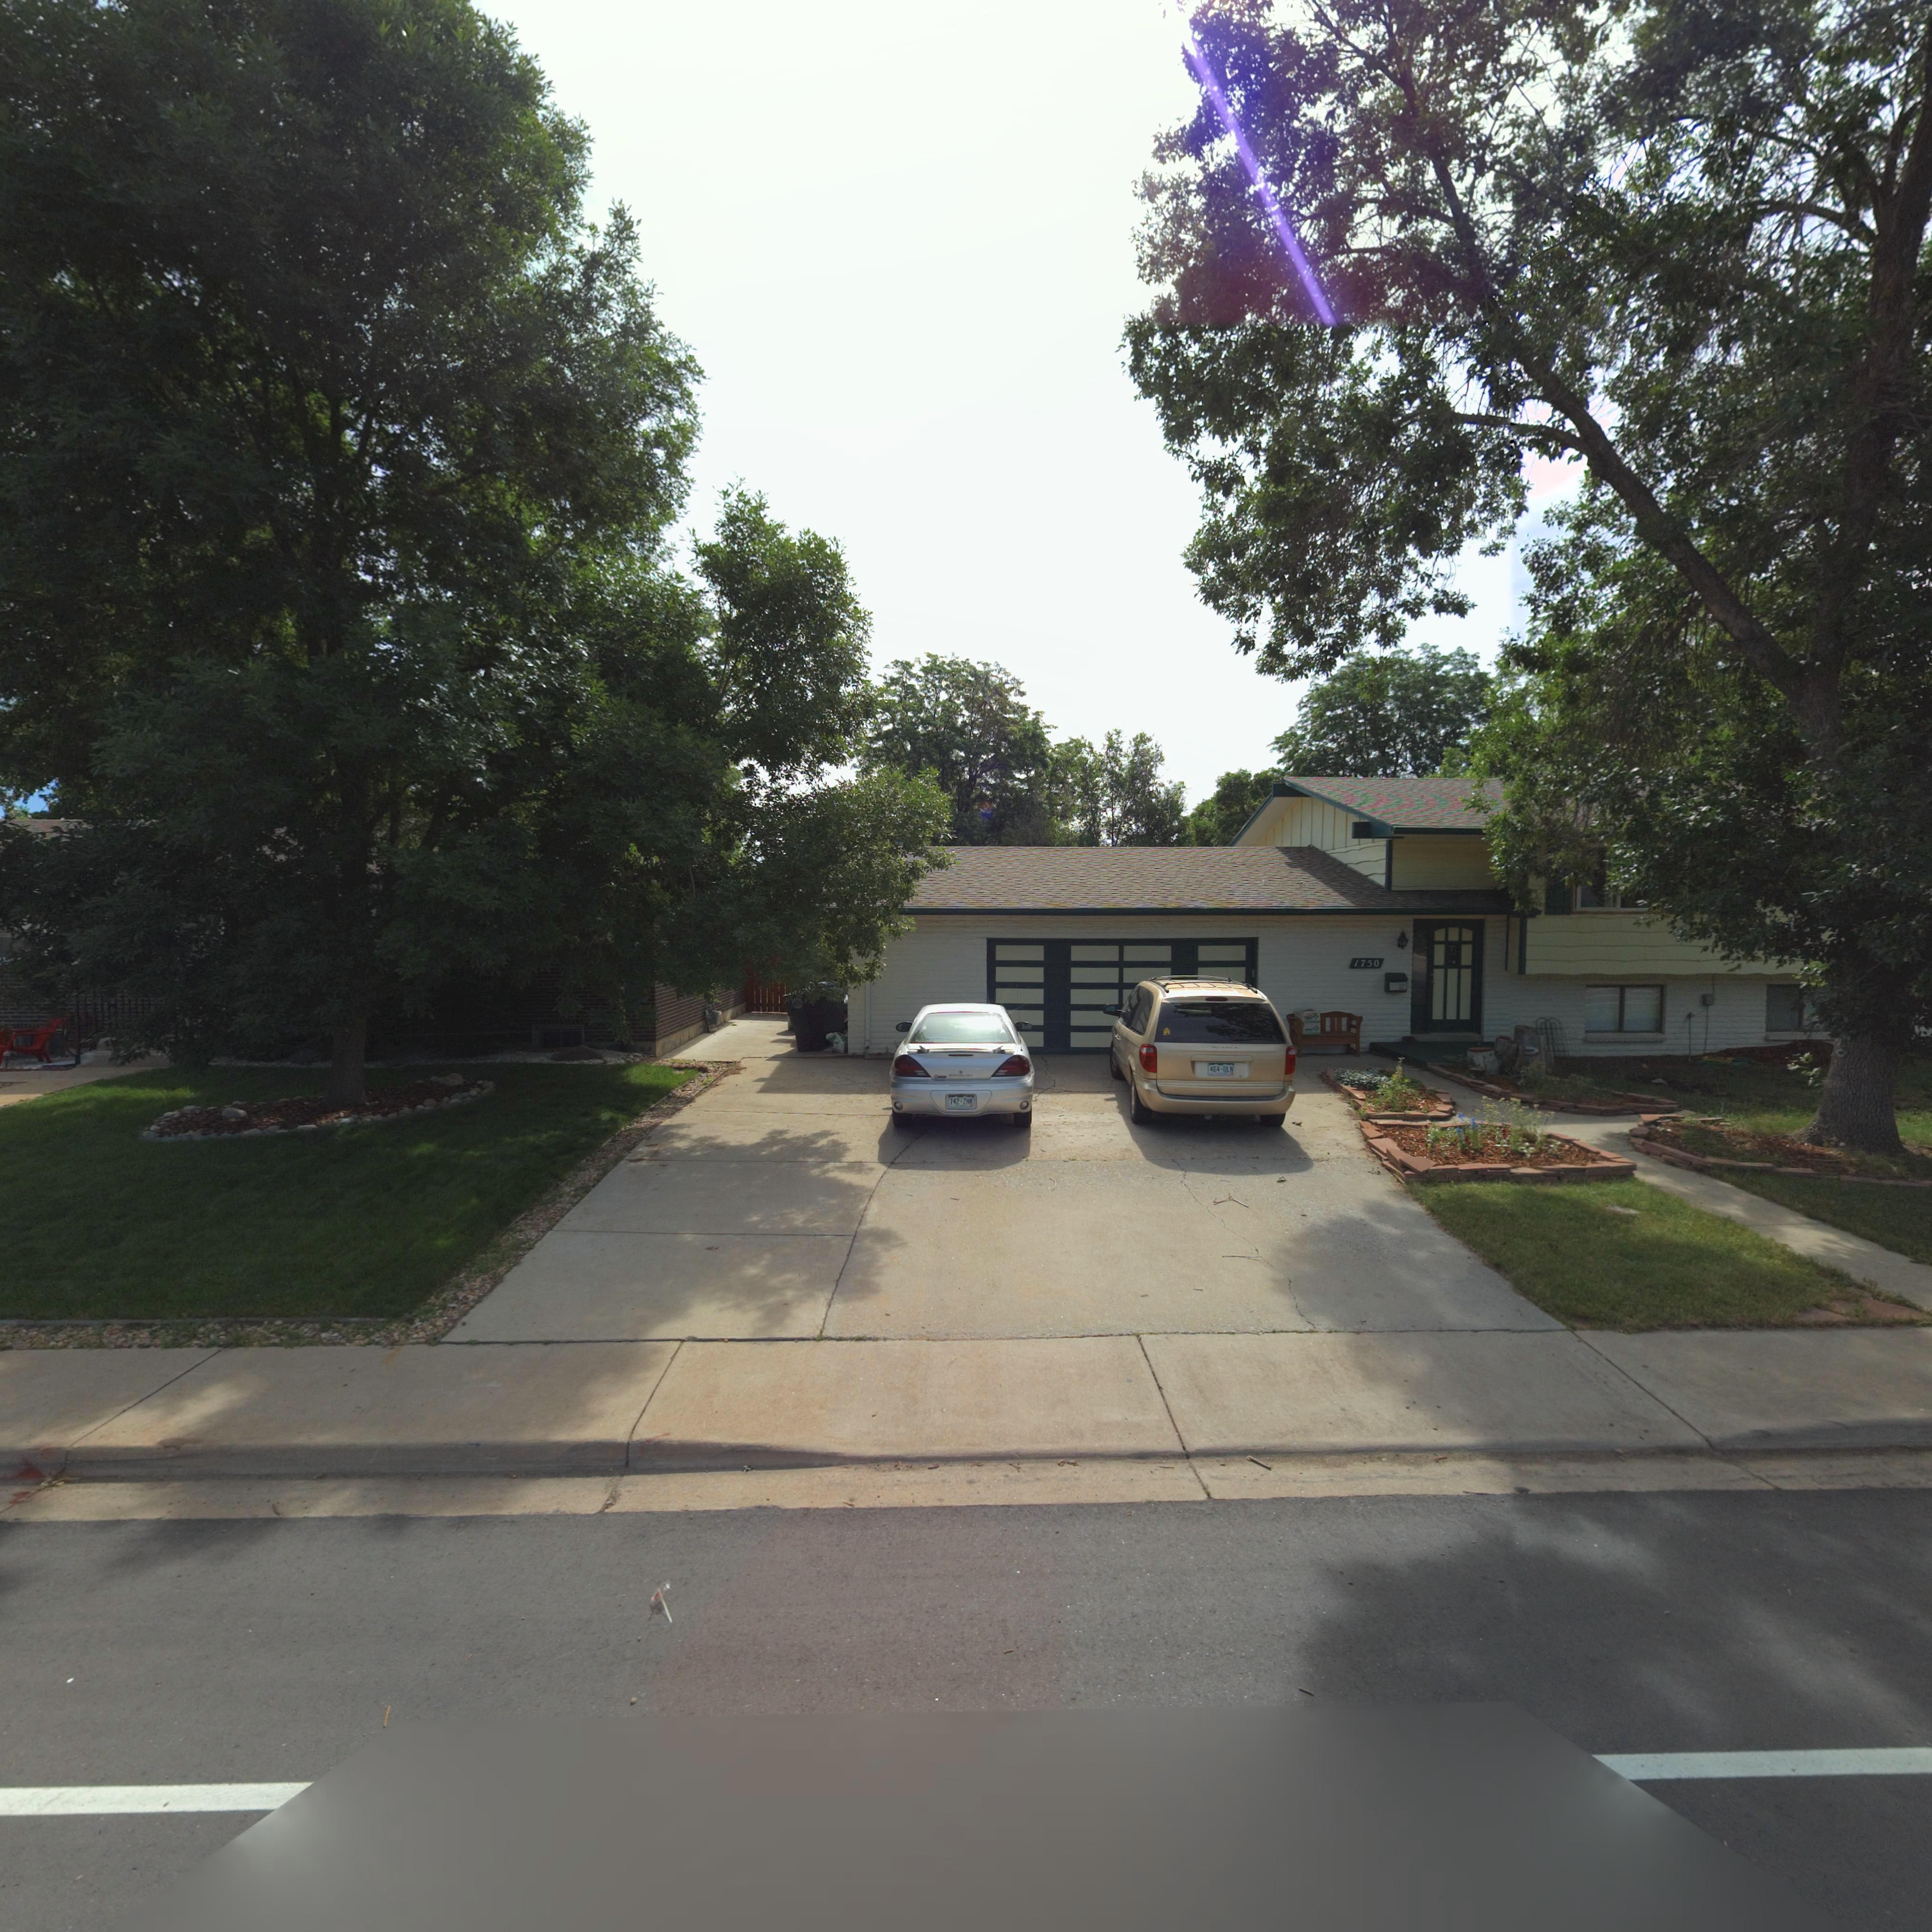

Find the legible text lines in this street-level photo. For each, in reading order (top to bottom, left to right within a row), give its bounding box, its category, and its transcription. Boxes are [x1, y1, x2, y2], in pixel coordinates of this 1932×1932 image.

[1353, 959, 1379, 967] StreetNumber: 1750